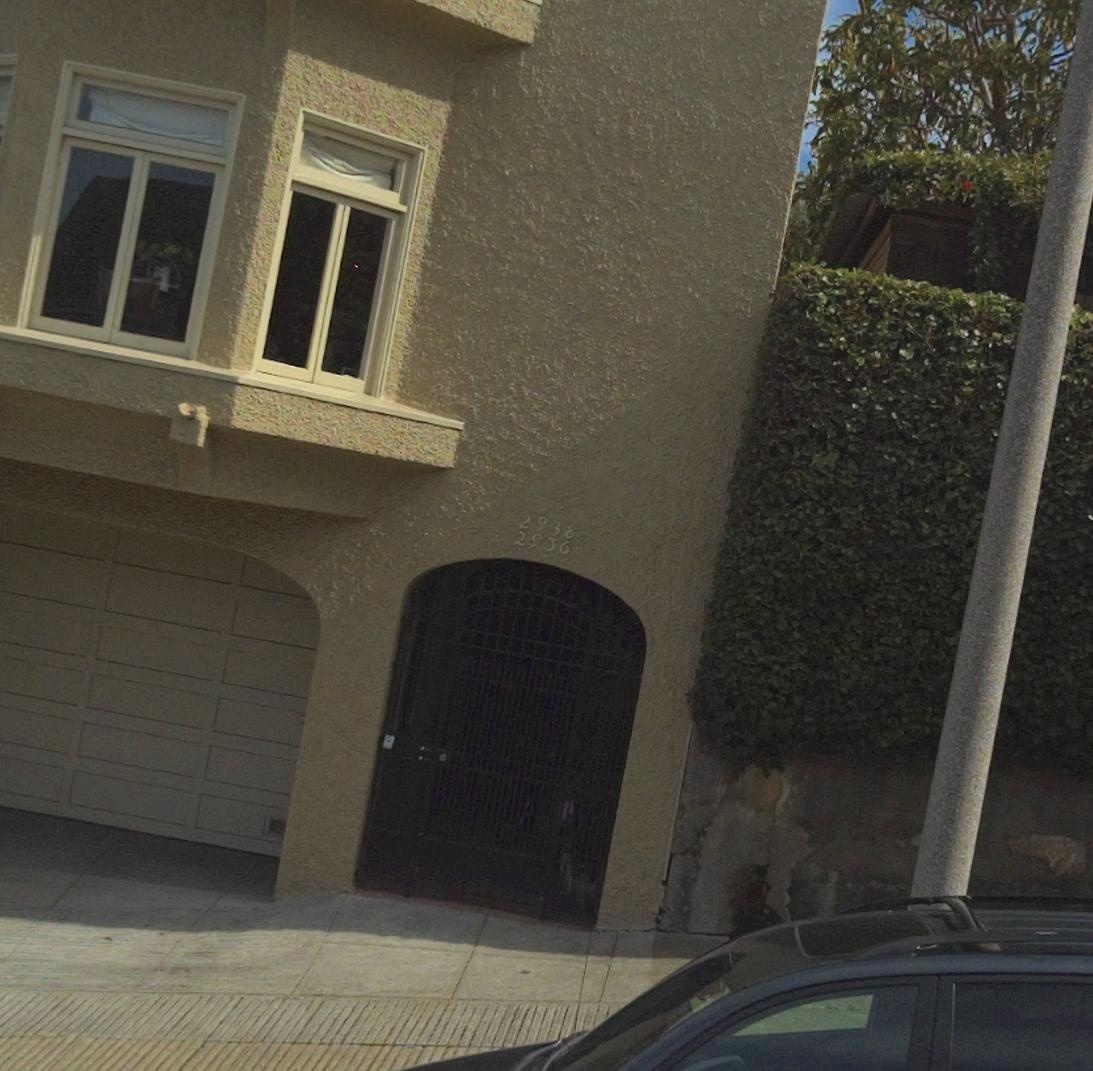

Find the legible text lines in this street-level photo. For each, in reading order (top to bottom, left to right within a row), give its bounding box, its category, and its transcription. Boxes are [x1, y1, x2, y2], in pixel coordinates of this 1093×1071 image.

[510, 529, 576, 559] StreetNumber: 2936
[515, 511, 580, 544] StreetNumber: 2938